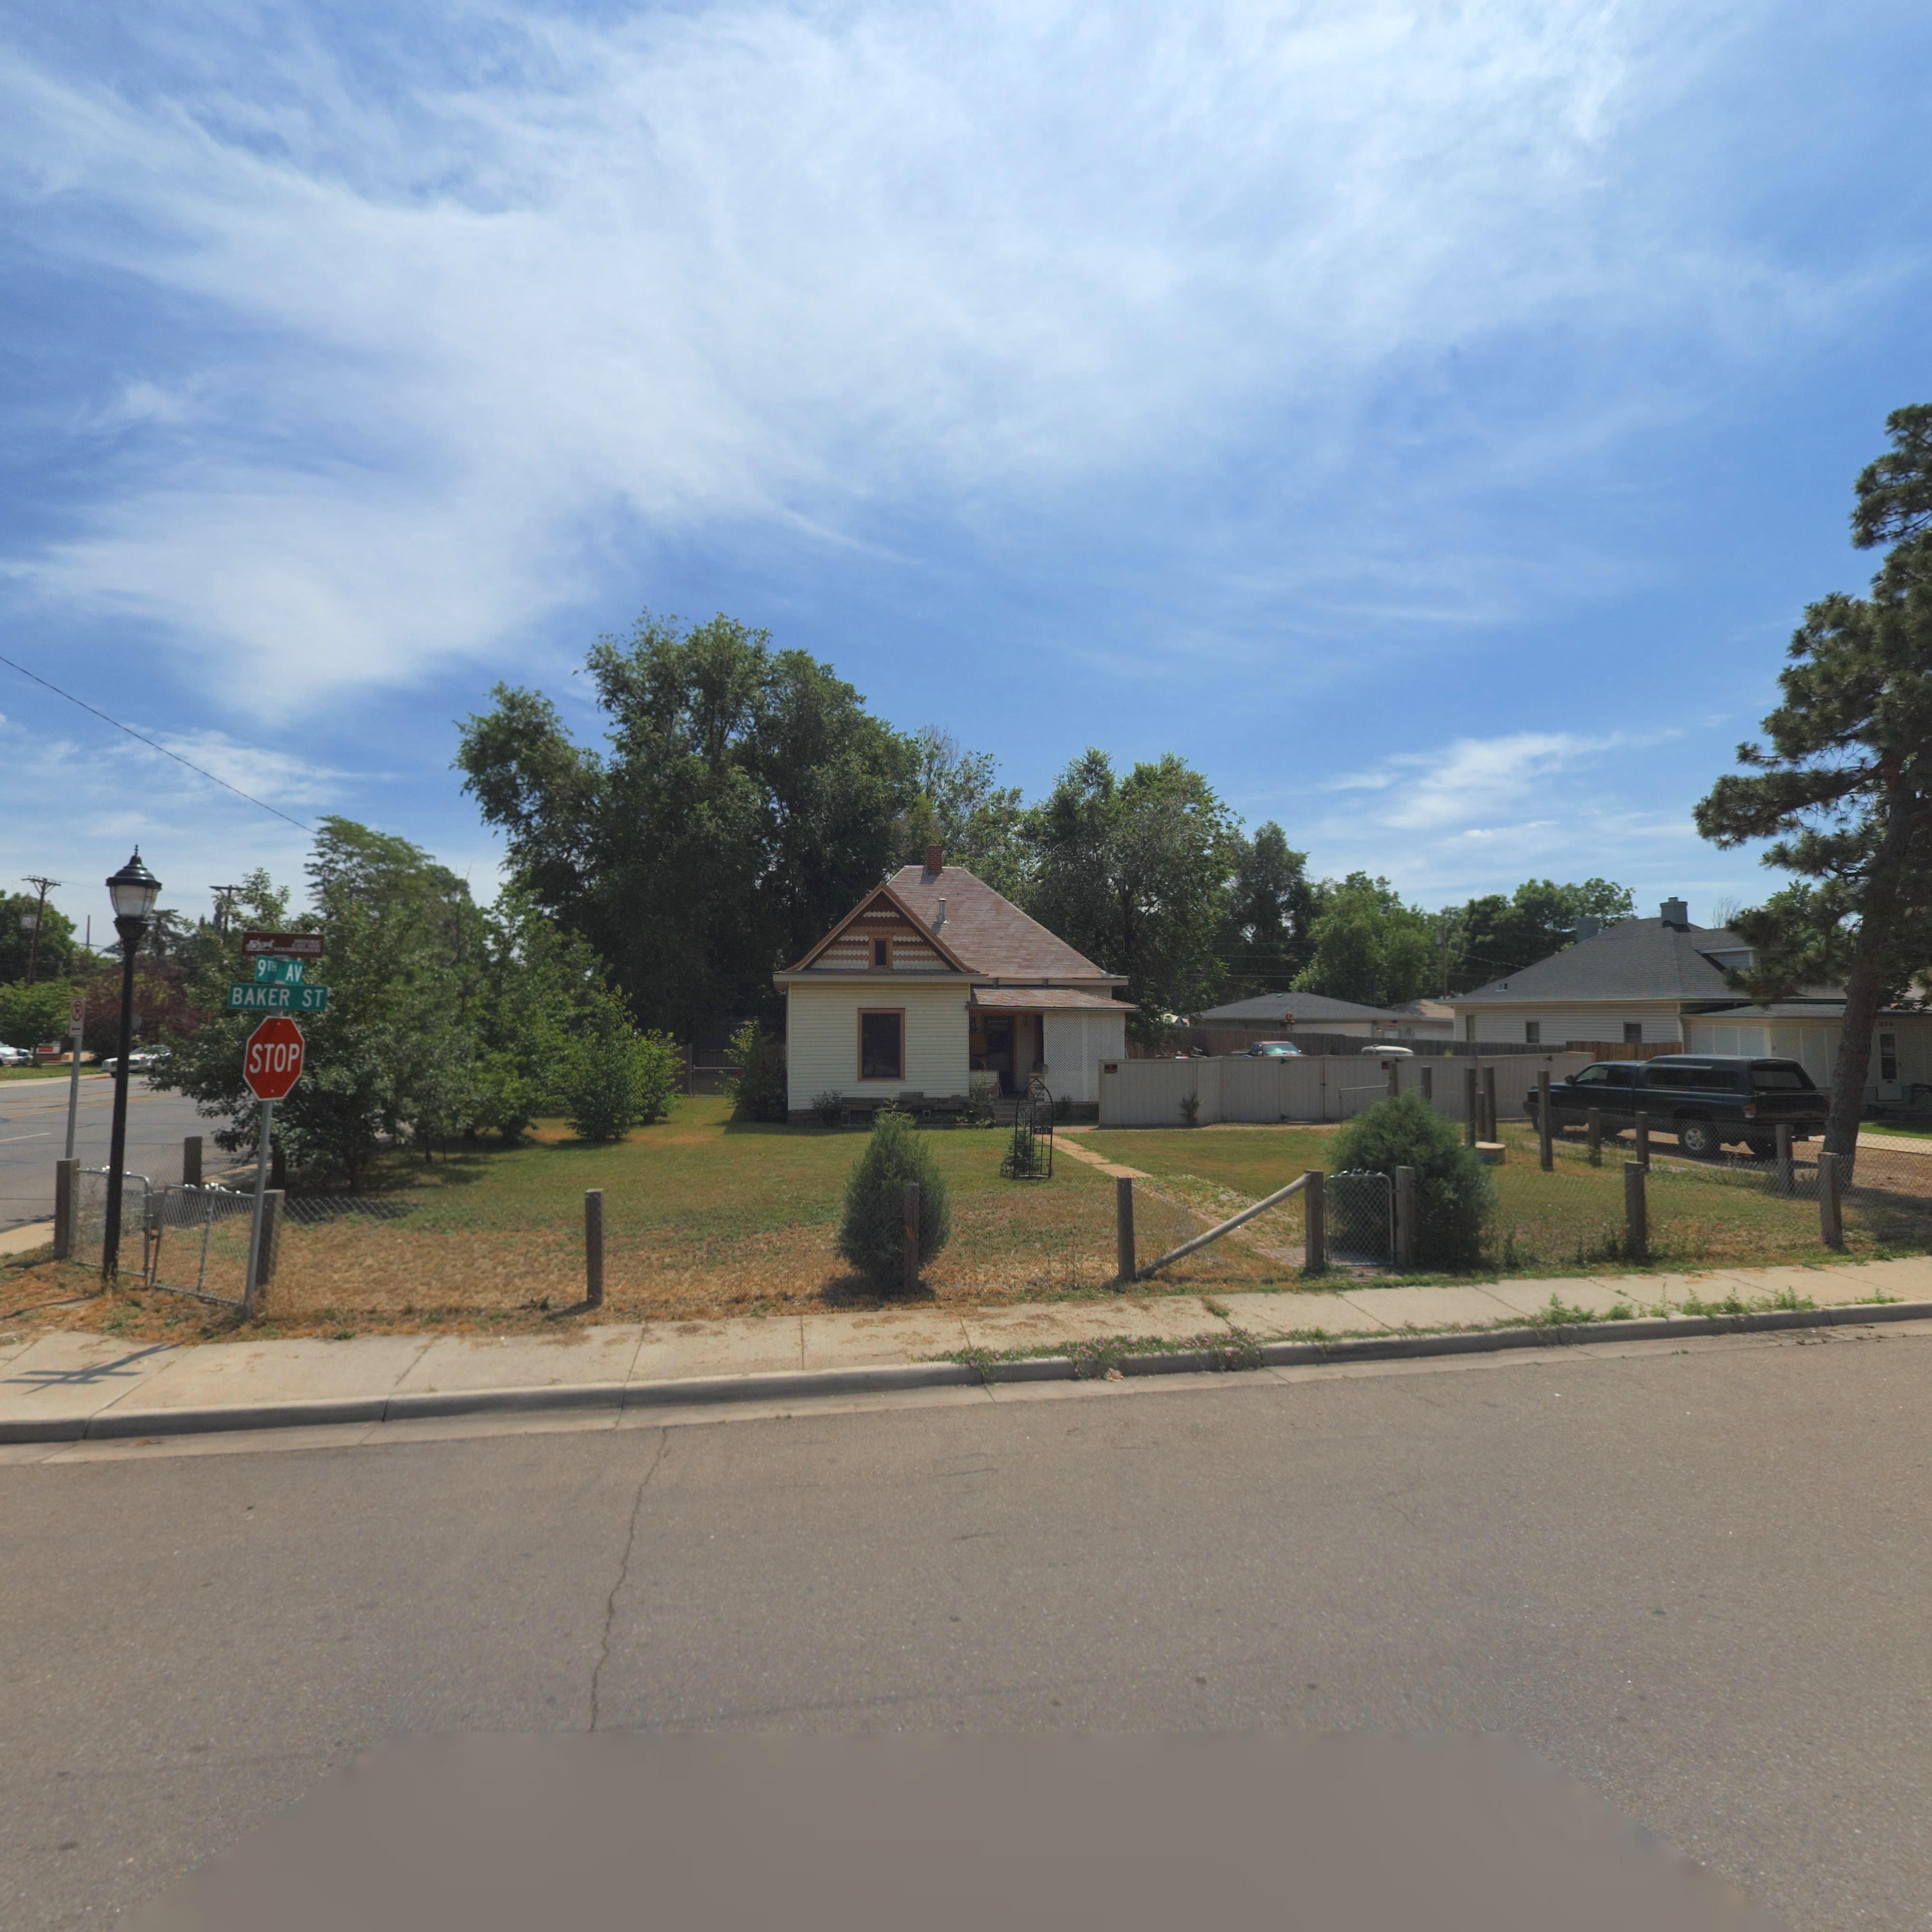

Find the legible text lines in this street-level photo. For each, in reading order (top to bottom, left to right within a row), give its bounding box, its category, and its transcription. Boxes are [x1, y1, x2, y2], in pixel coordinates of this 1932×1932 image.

[256, 958, 304, 983] StreetName: 9TH AV
[230, 986, 325, 1008] StreetName: BAKER ST
[1880, 1021, 1893, 1027] StreetNumber: *2*
[1035, 1128, 1048, 1134] StreetNumber: 844